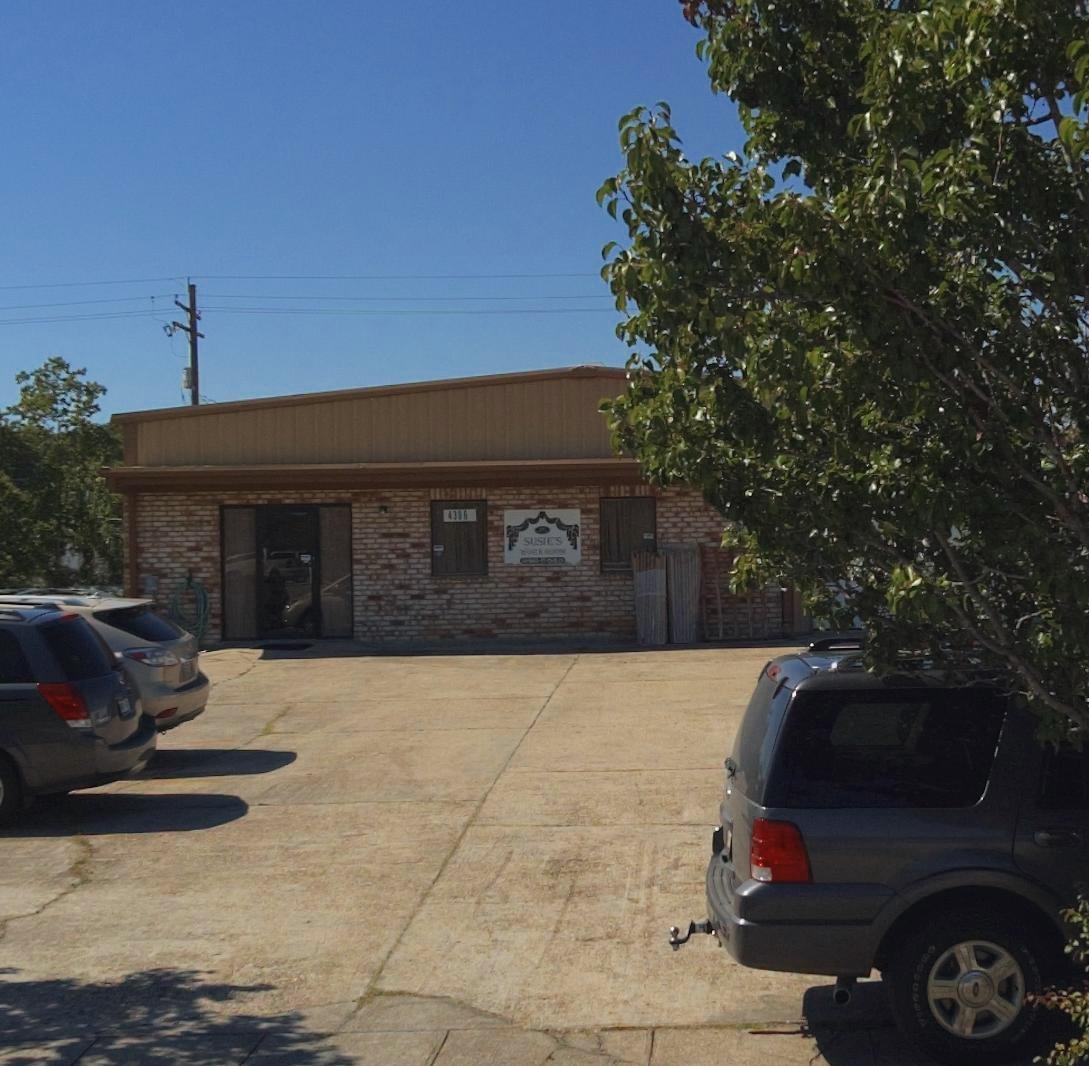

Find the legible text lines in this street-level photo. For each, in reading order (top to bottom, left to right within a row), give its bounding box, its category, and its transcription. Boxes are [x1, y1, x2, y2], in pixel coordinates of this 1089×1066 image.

[445, 507, 470, 523] StreetNumber: 43*6
[521, 534, 565, 549] BusinessName: SUSIE'S